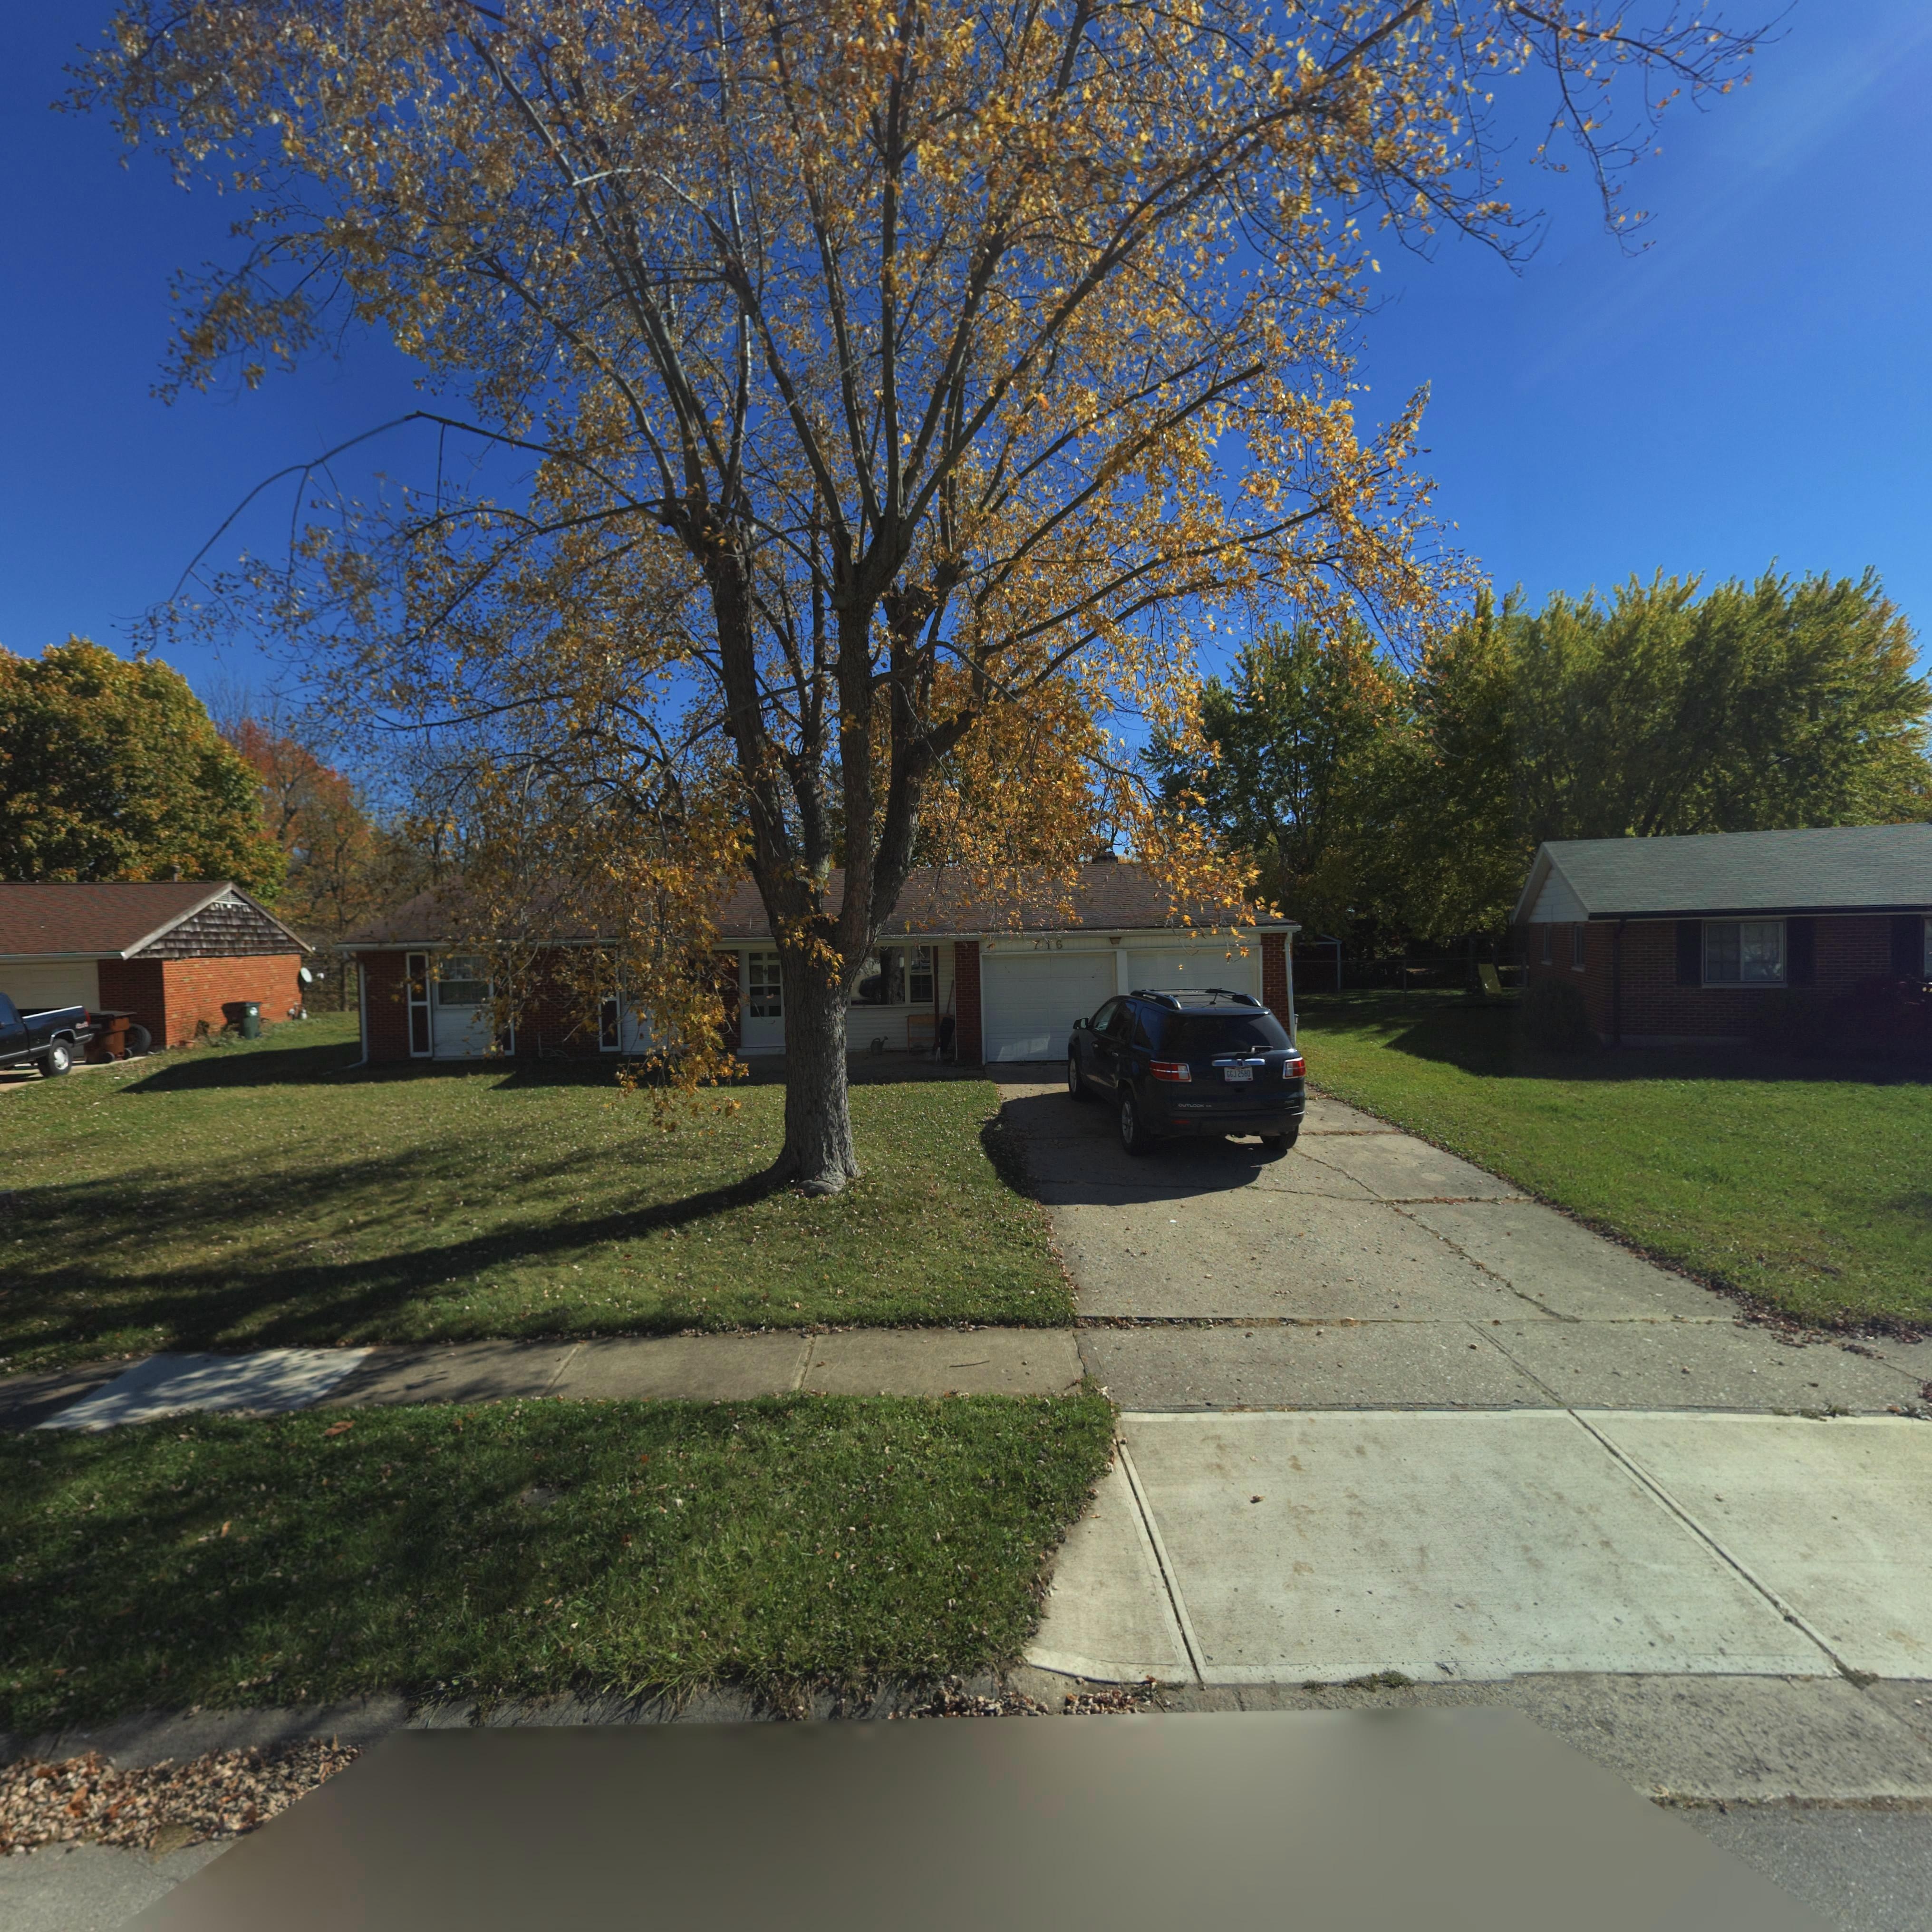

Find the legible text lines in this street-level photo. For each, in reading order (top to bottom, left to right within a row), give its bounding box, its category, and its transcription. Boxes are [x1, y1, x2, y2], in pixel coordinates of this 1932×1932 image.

[1032, 939, 1064, 951] StreetNumber: 716
[1226, 1069, 1251, 1078] None: GGJ*2580
[1177, 1102, 1205, 1108] None: OUTLOOK